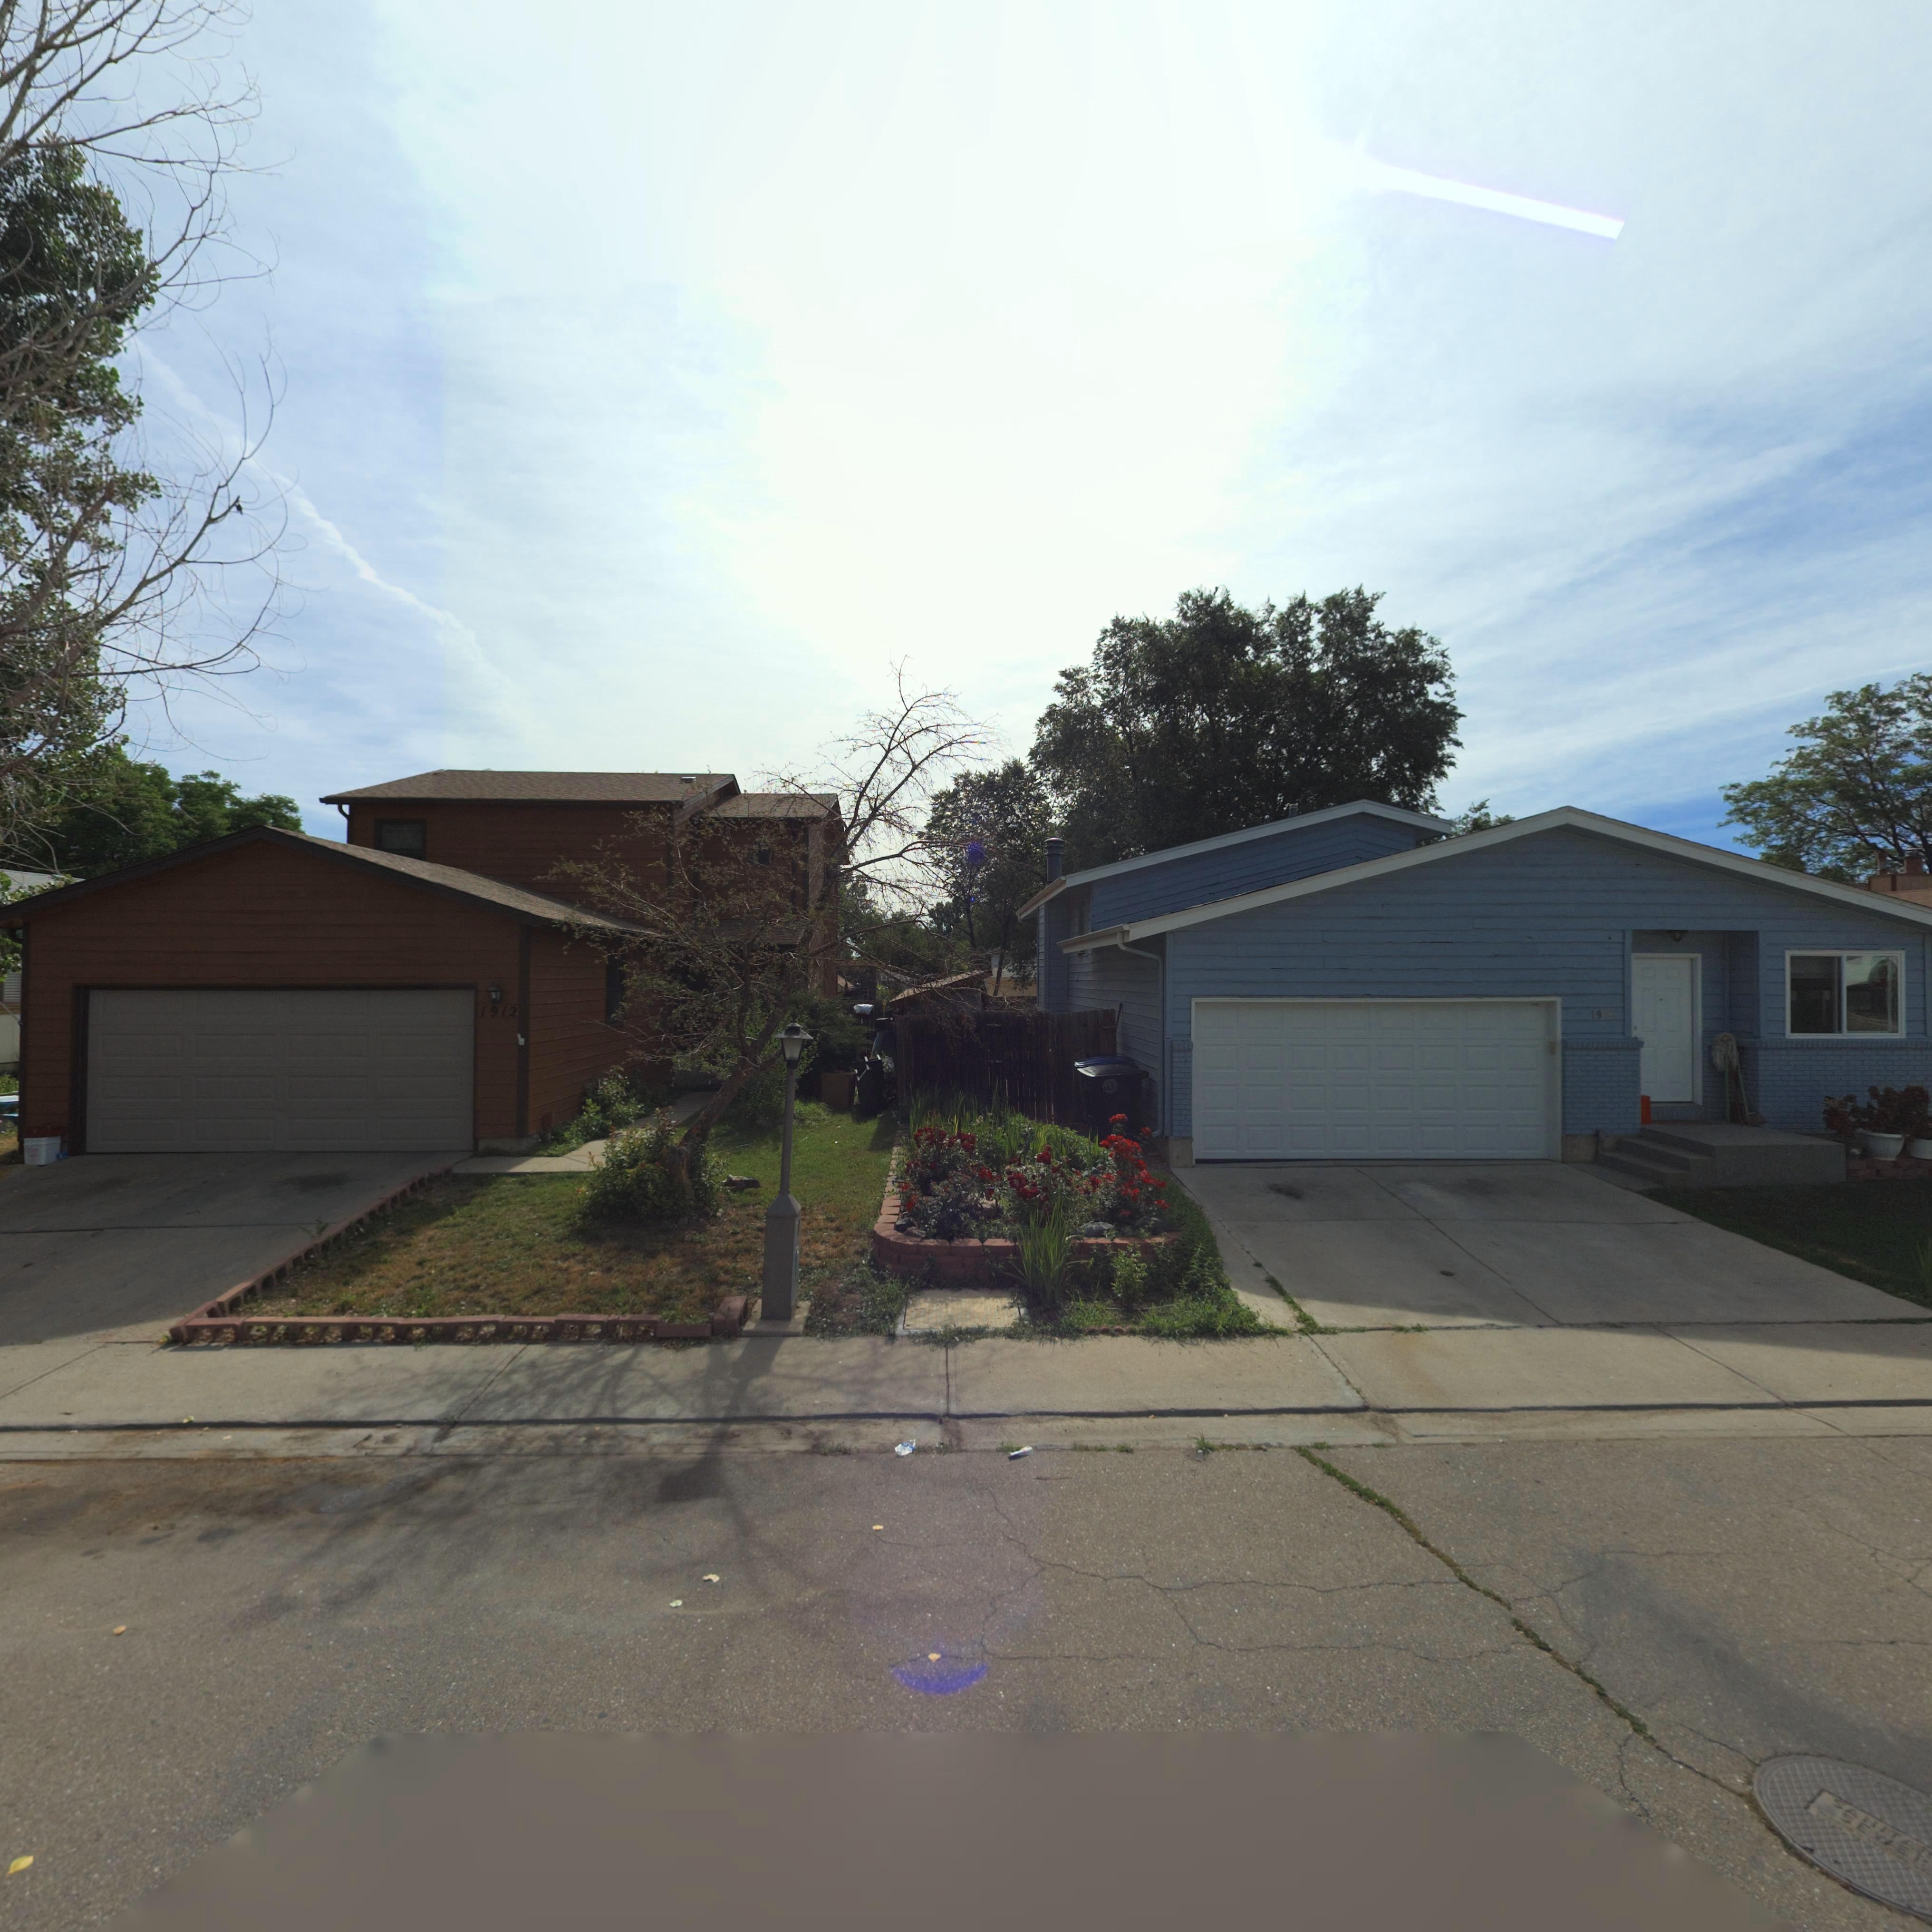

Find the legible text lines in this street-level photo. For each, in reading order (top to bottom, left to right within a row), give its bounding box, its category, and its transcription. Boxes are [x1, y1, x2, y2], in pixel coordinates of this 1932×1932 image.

[479, 1005, 517, 1017] StreetNumber: 1912
[1591, 1010, 1602, 1020] StreetNumber: 19